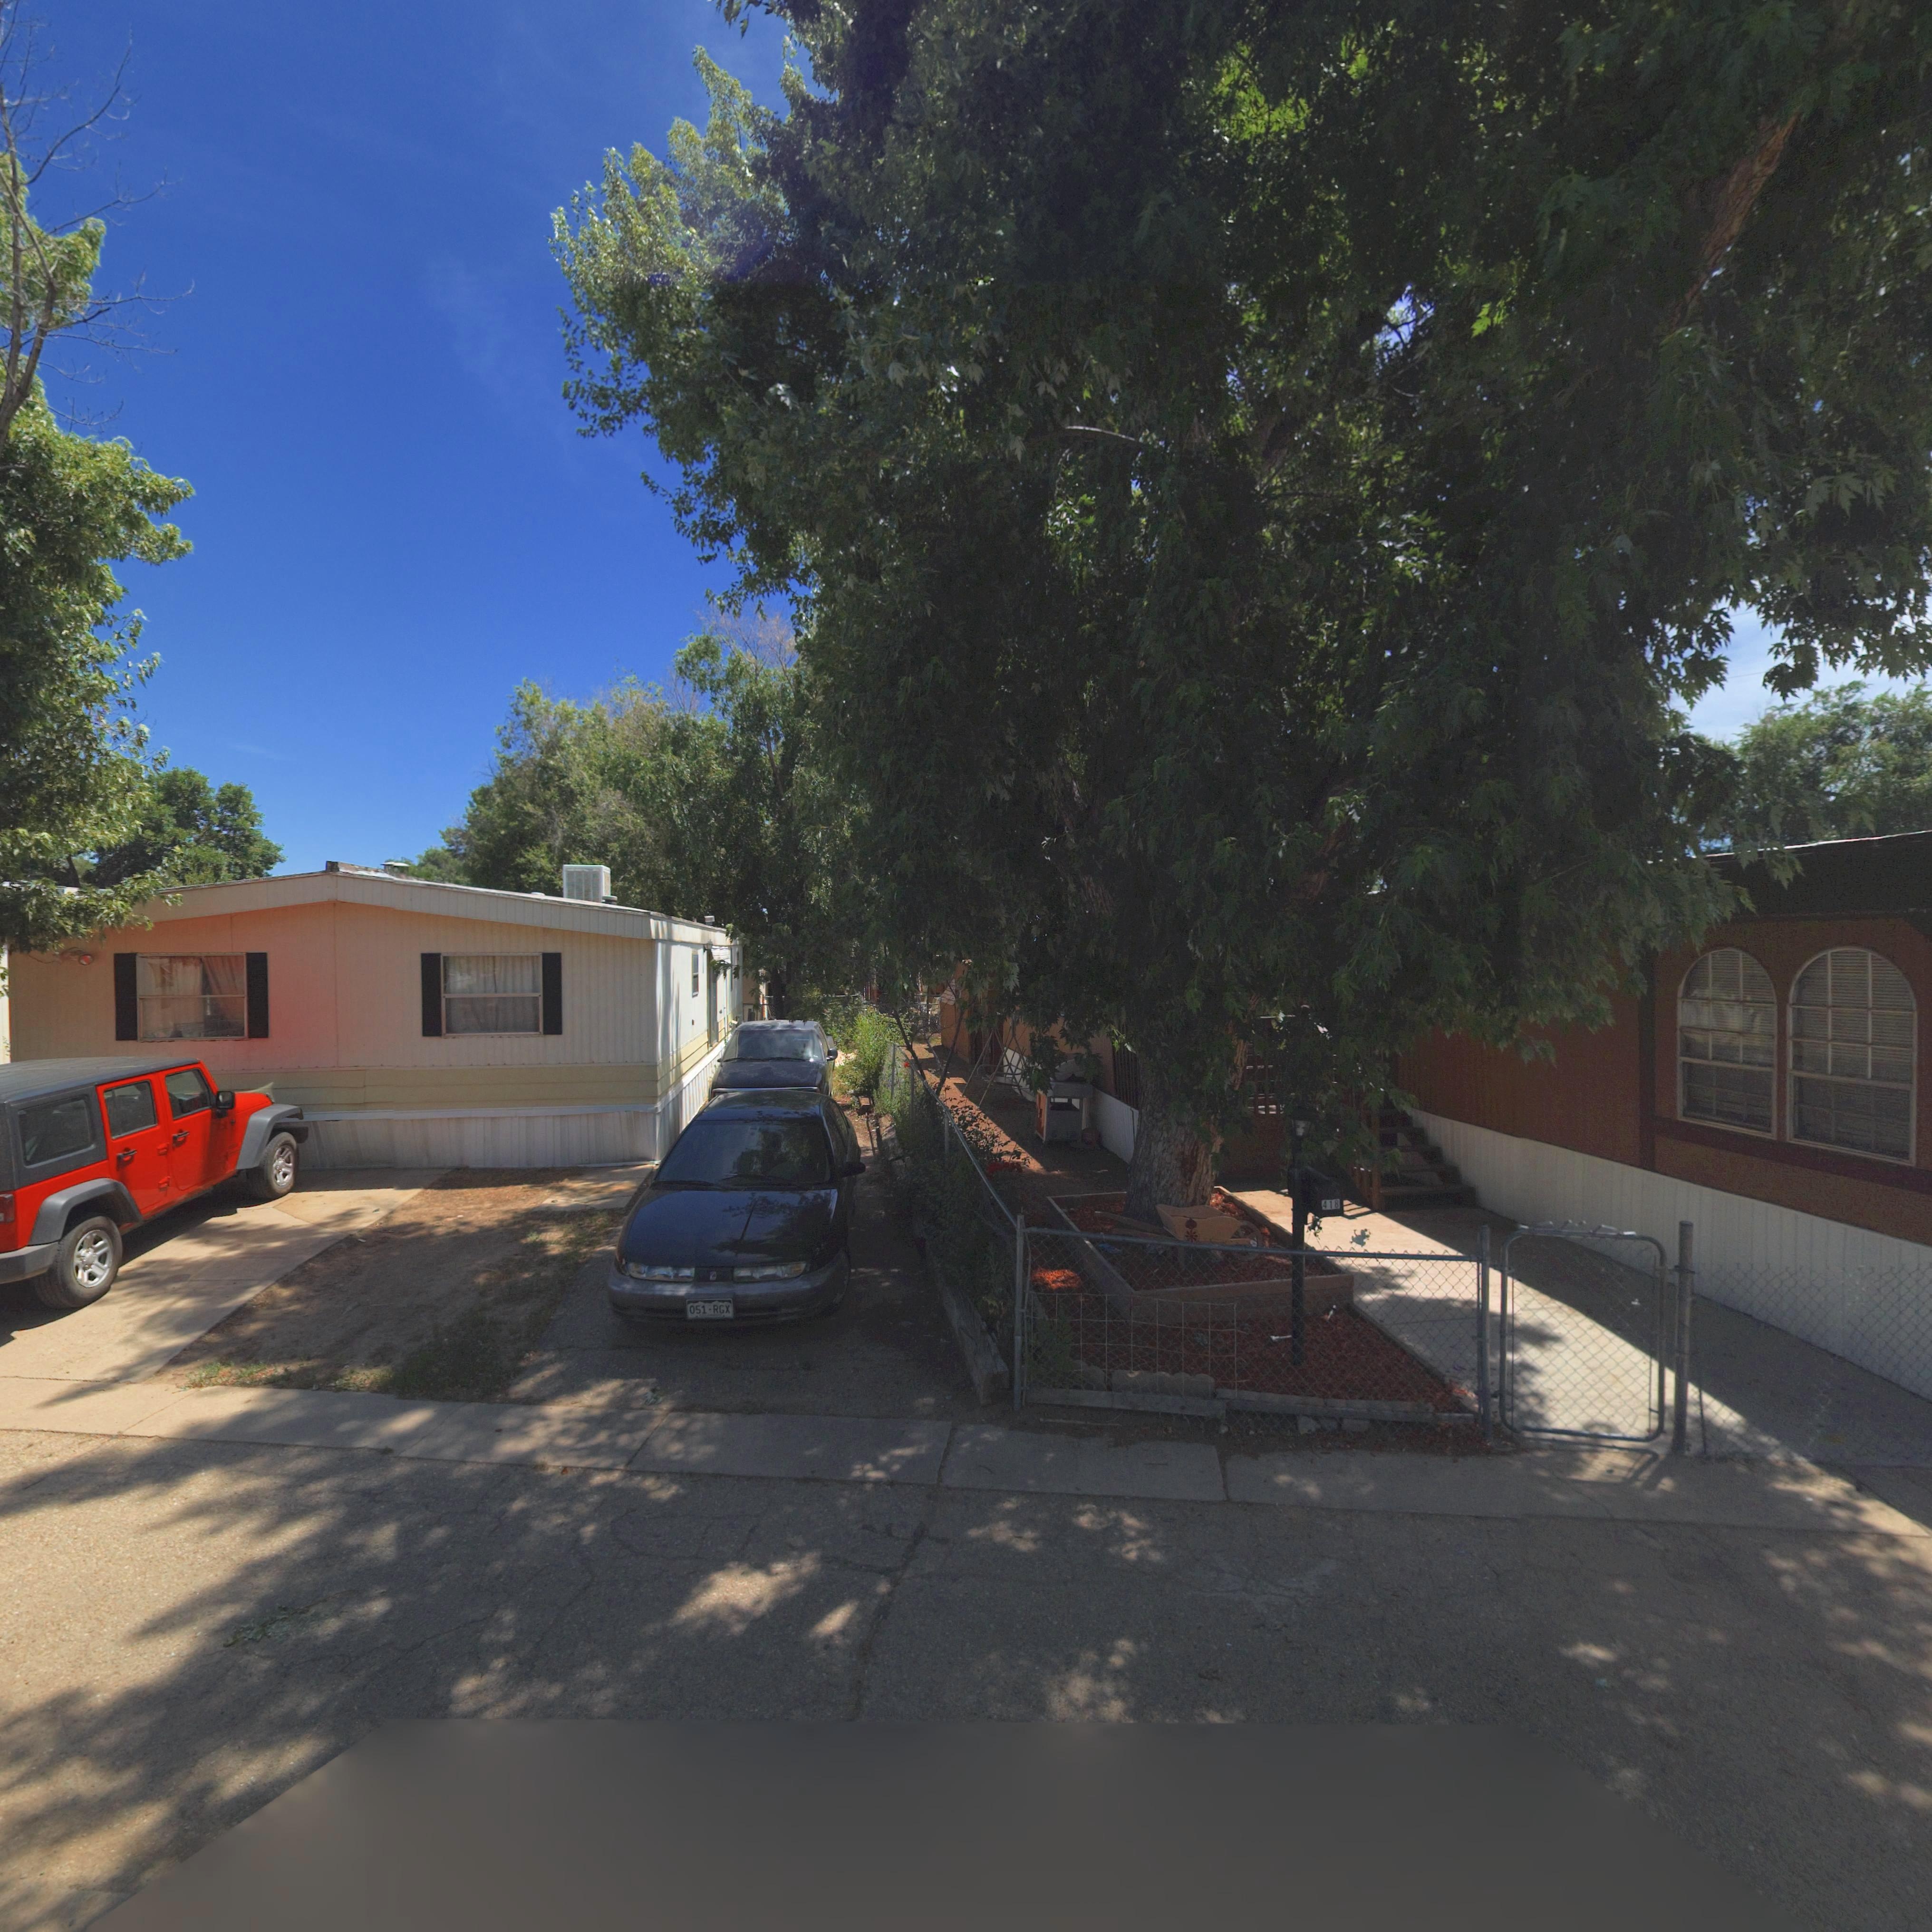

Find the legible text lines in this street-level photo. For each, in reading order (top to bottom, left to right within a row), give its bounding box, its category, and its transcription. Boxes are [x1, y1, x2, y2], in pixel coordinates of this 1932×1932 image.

[1322, 1199, 1339, 1208] StreetNumber: 418